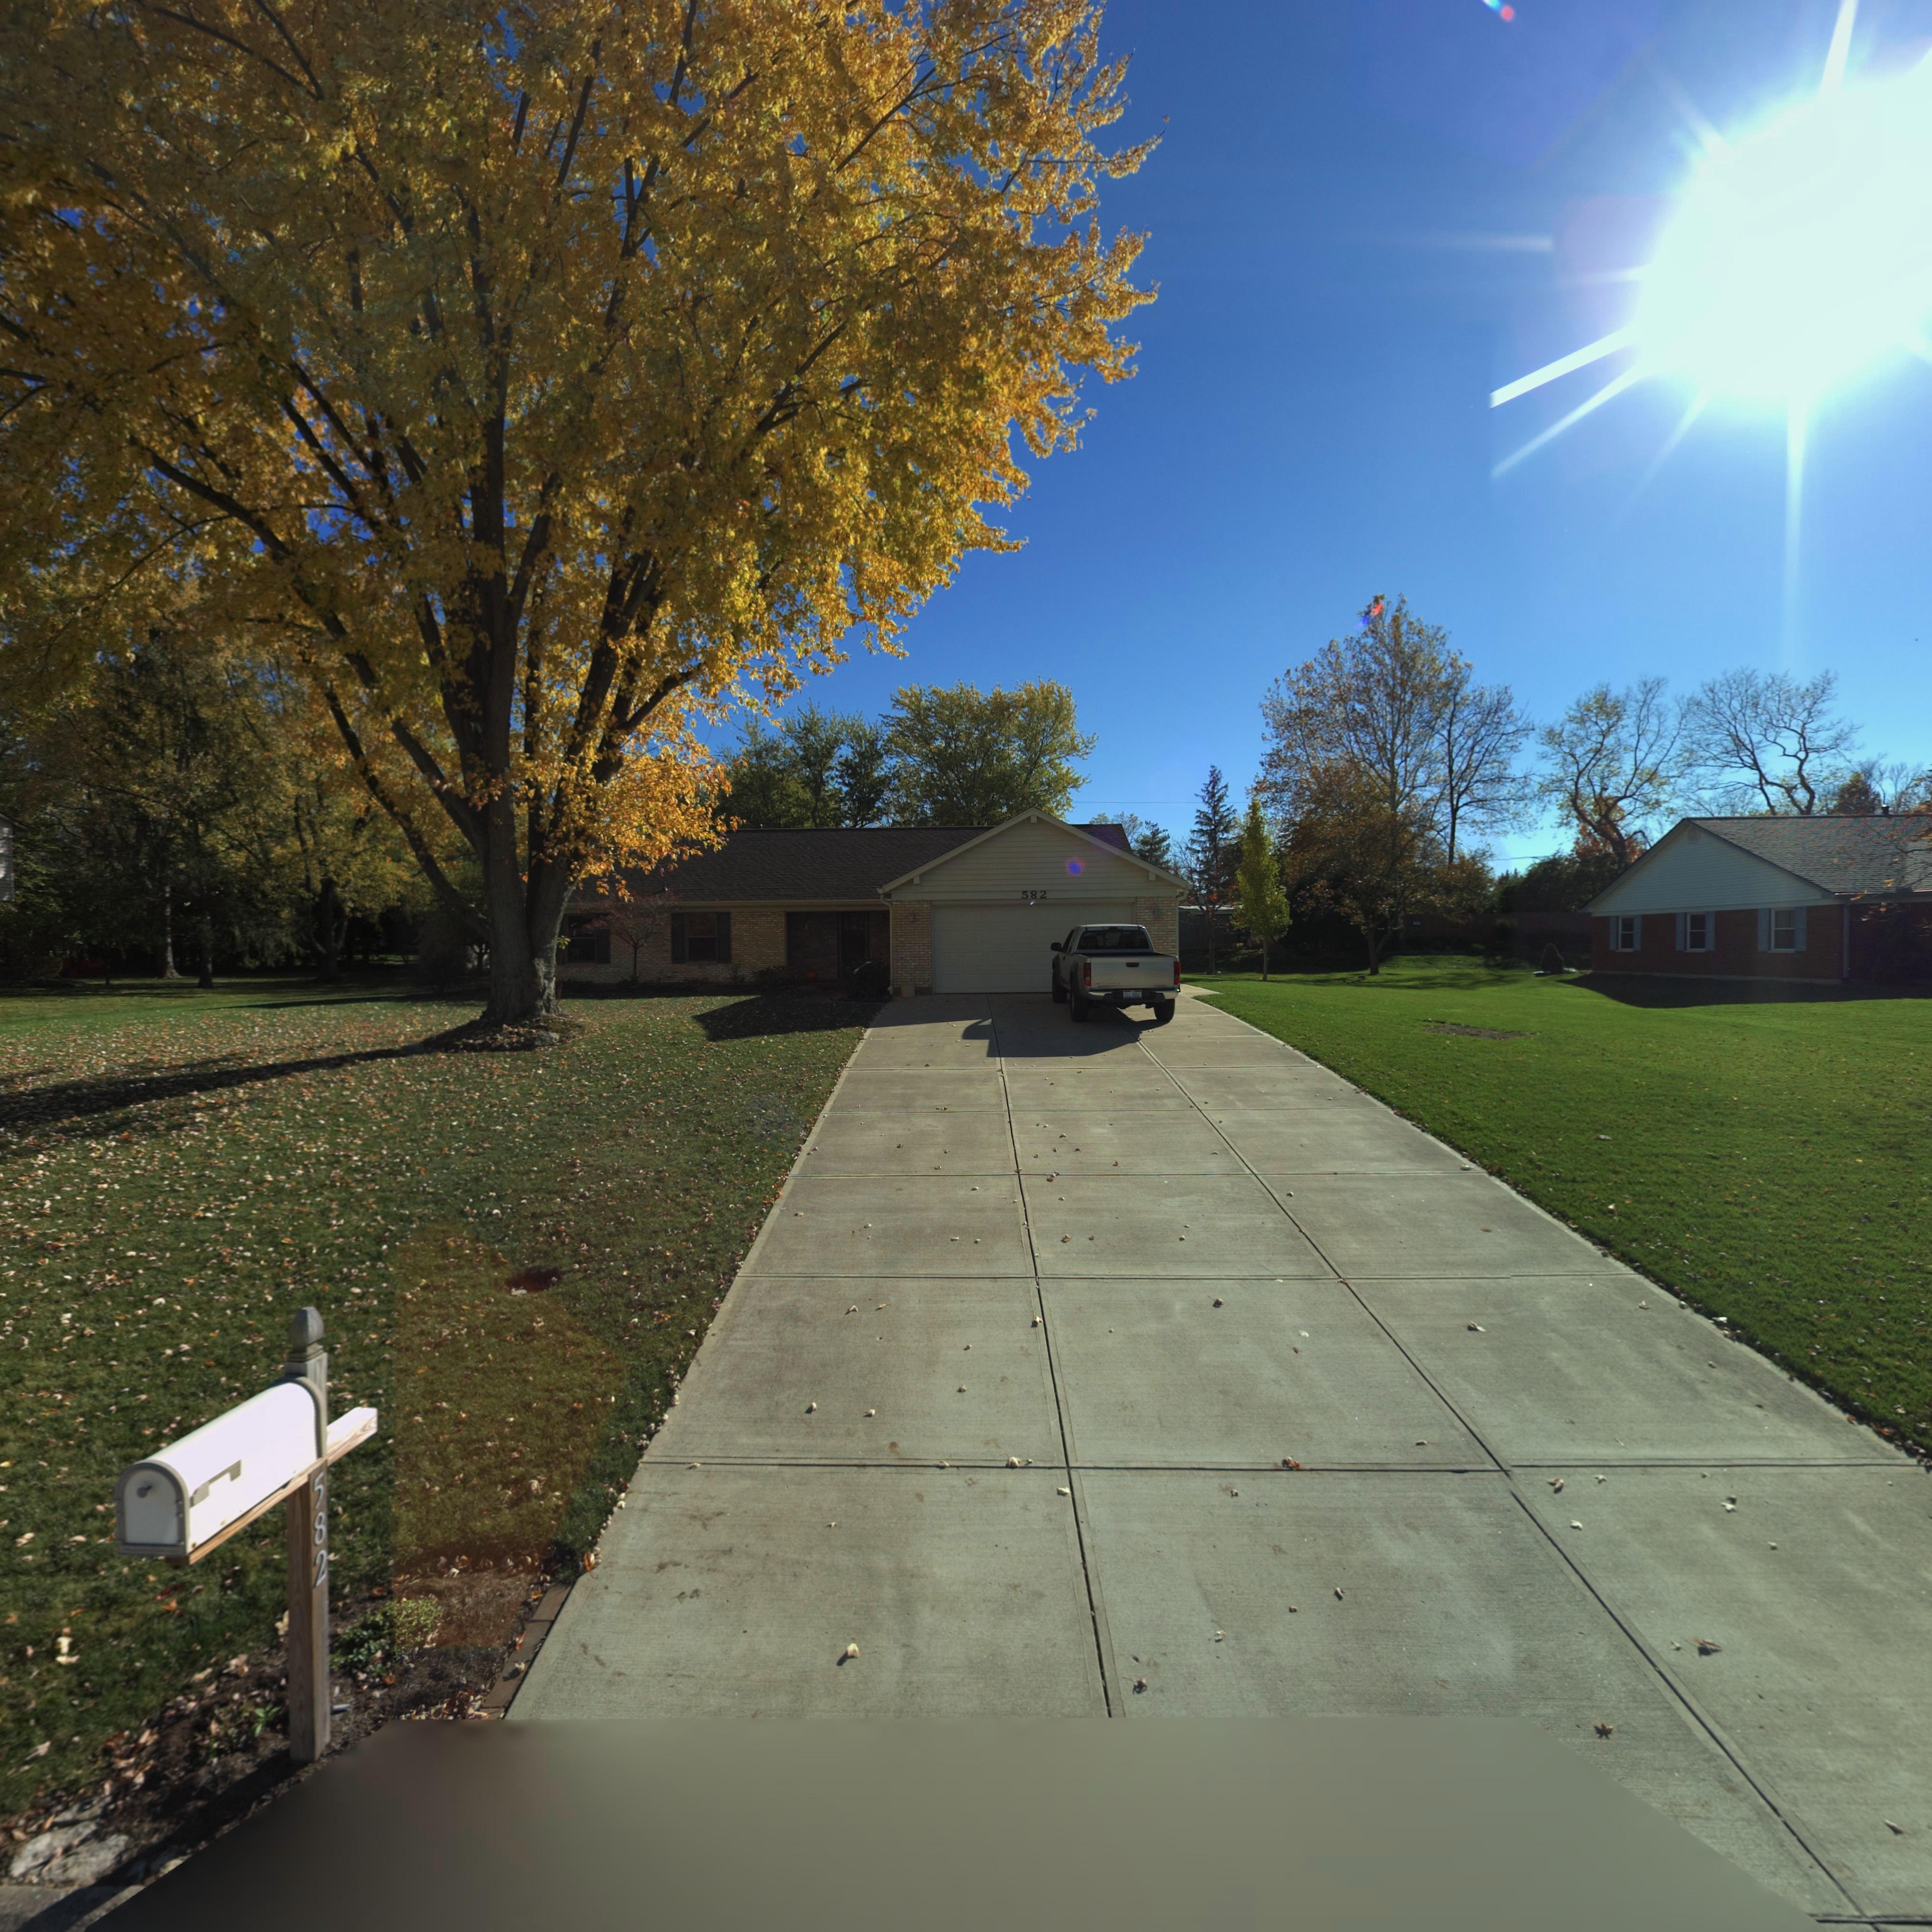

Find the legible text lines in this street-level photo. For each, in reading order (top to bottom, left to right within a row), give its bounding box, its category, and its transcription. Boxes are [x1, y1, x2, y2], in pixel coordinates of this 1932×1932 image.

[1021, 890, 1047, 899] StreetNumber: 582
[312, 1468, 328, 1594] StreetNumber: 582